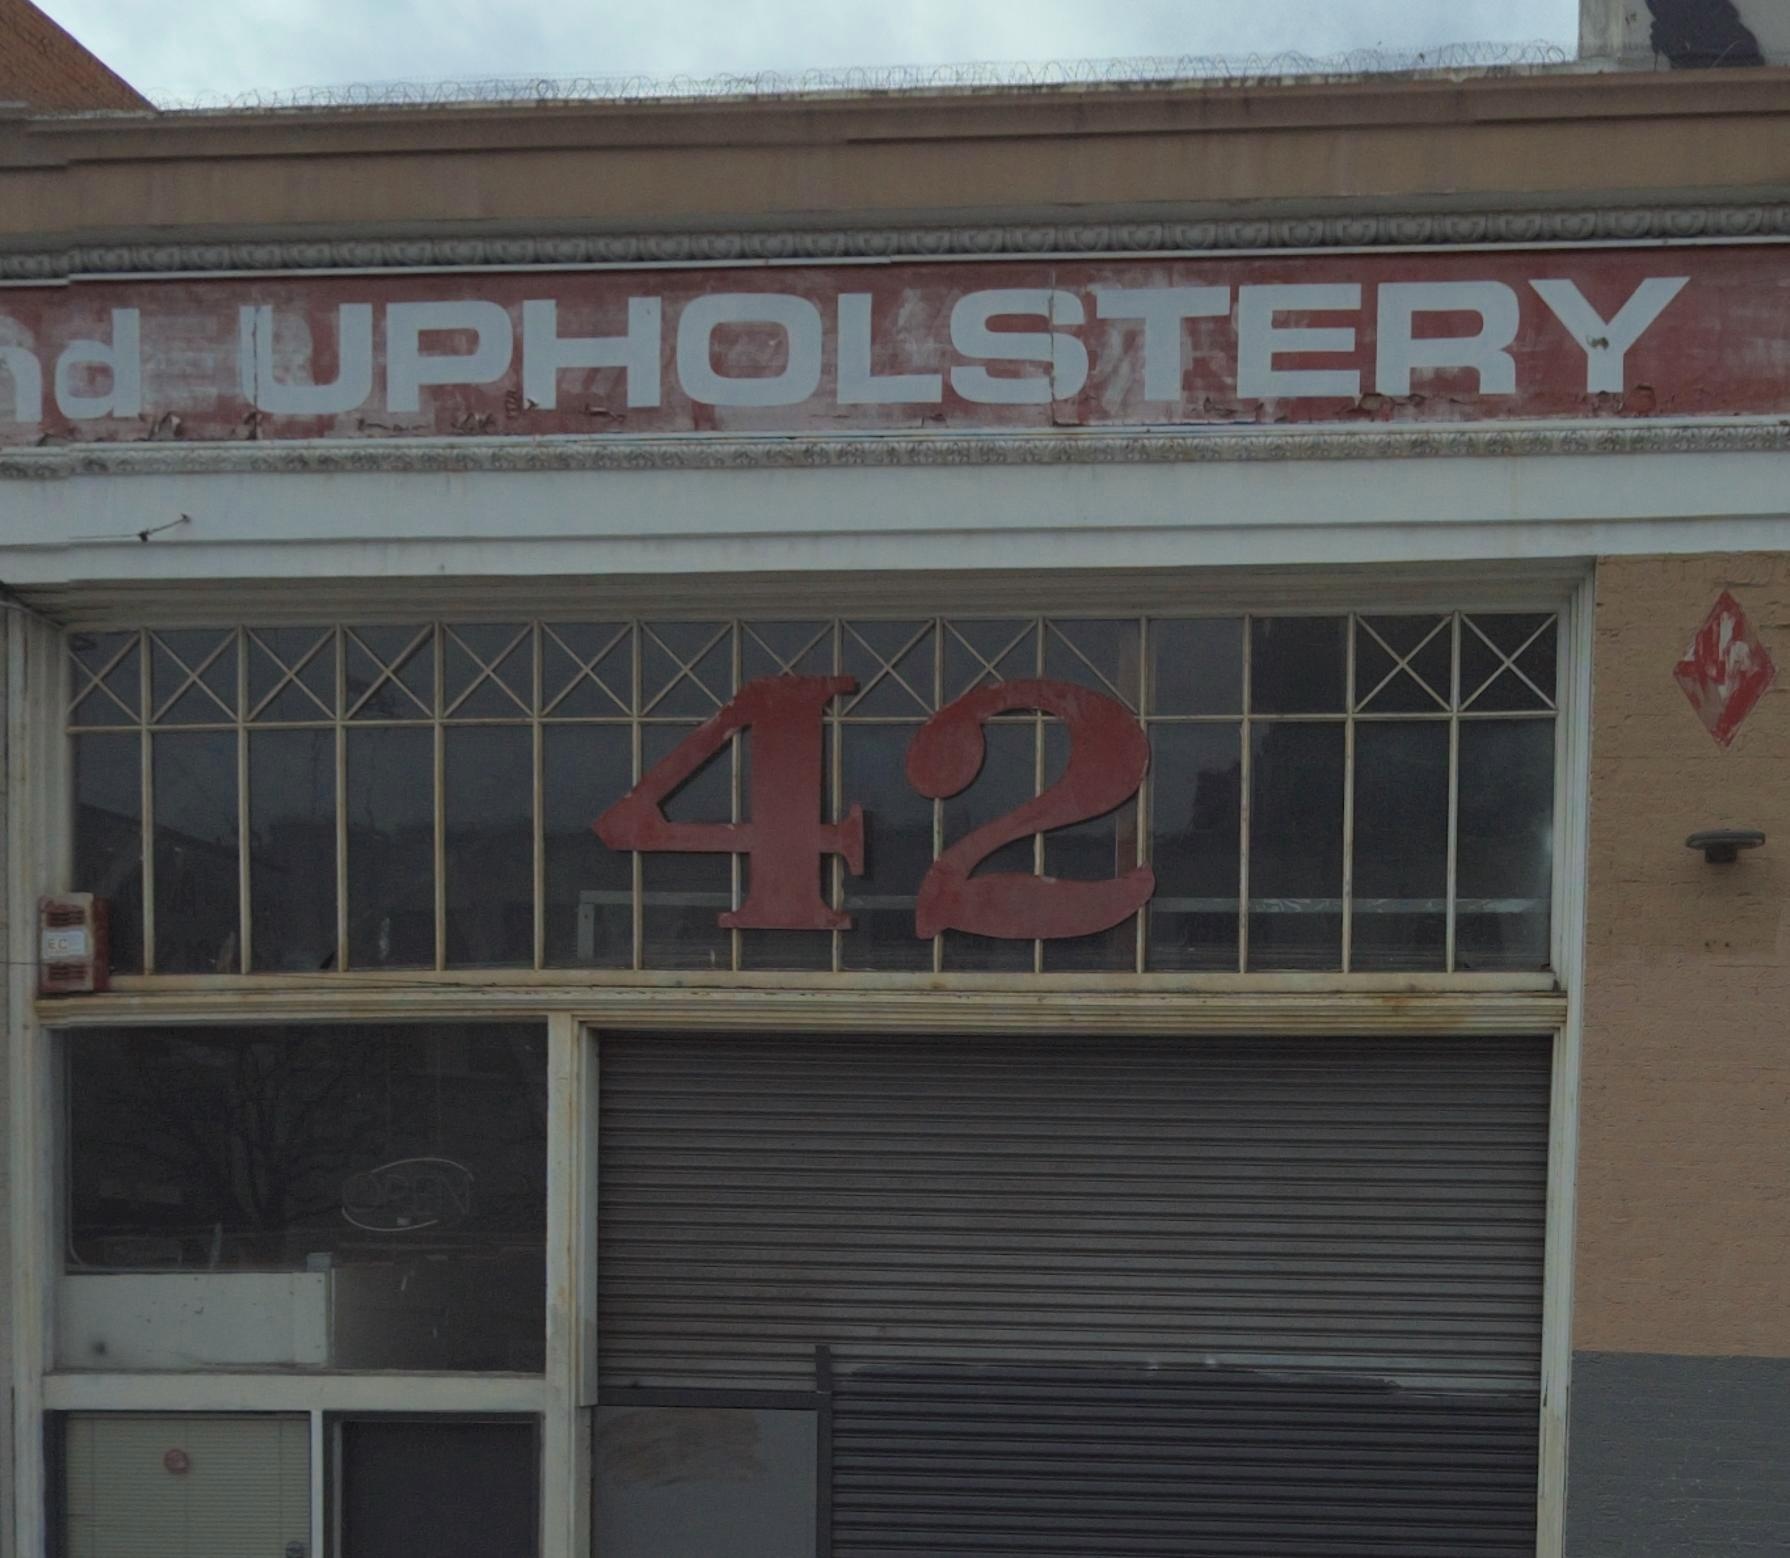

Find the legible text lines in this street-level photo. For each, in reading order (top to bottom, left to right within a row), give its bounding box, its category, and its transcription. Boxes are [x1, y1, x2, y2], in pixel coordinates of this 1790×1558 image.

[42, 266, 1709, 432] BusinessName: d UPHOLSTERY
[573, 669, 1165, 949] StreetNumber: 42
[338, 1167, 475, 1219] None: OPEN